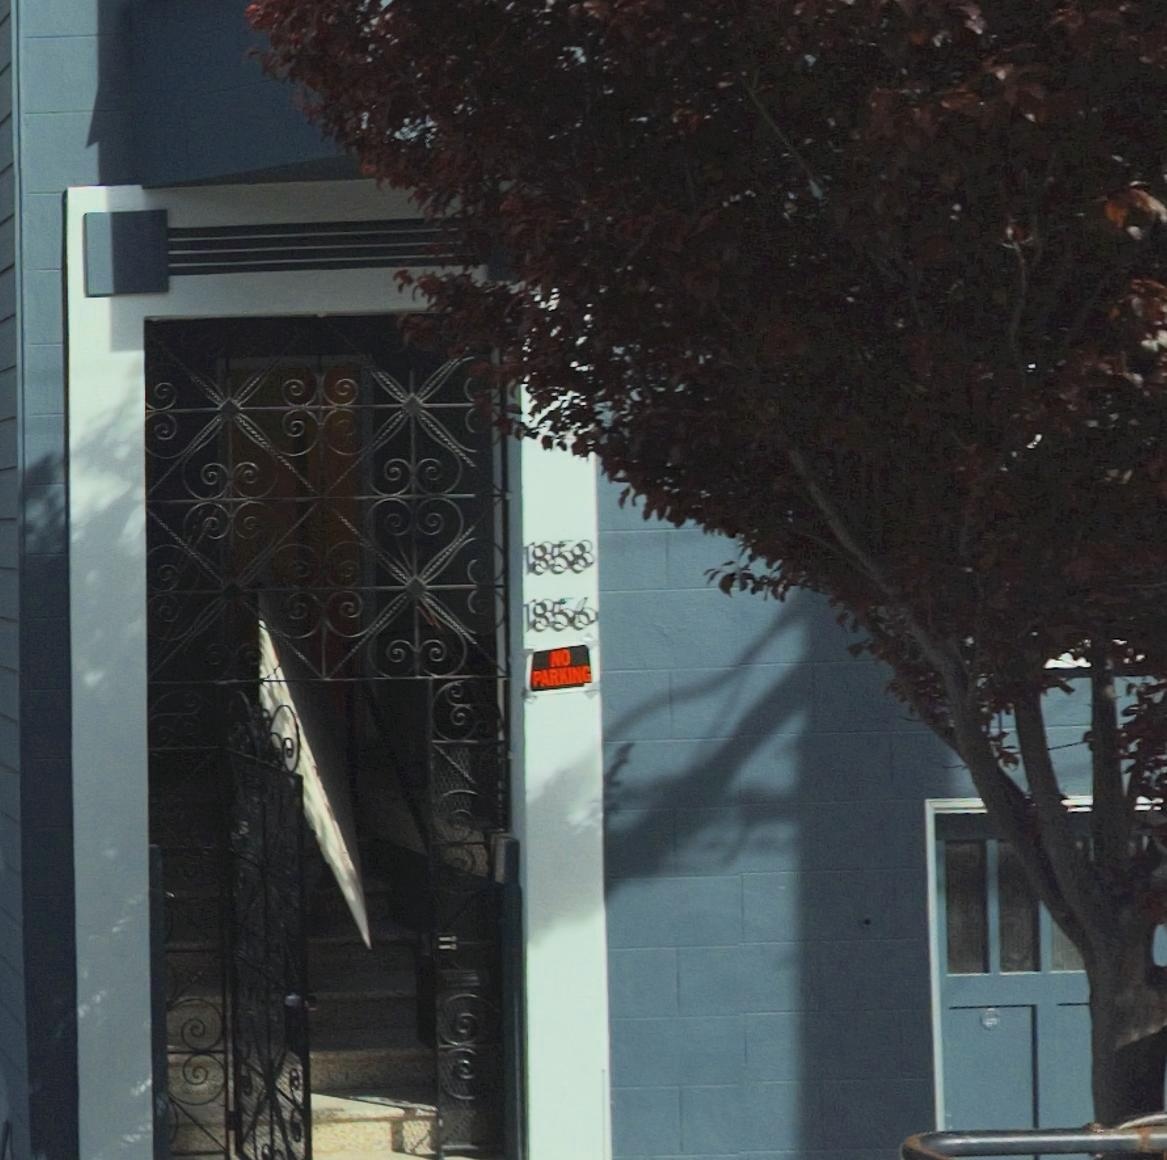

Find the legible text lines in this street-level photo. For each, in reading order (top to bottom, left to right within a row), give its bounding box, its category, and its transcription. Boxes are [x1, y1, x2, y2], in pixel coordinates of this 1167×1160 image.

[524, 539, 596, 576] StreetNumber: 1858
[518, 594, 597, 633] StreetNumber: 1856
[548, 646, 572, 669] None: NO
[530, 662, 593, 689] None: PARKING